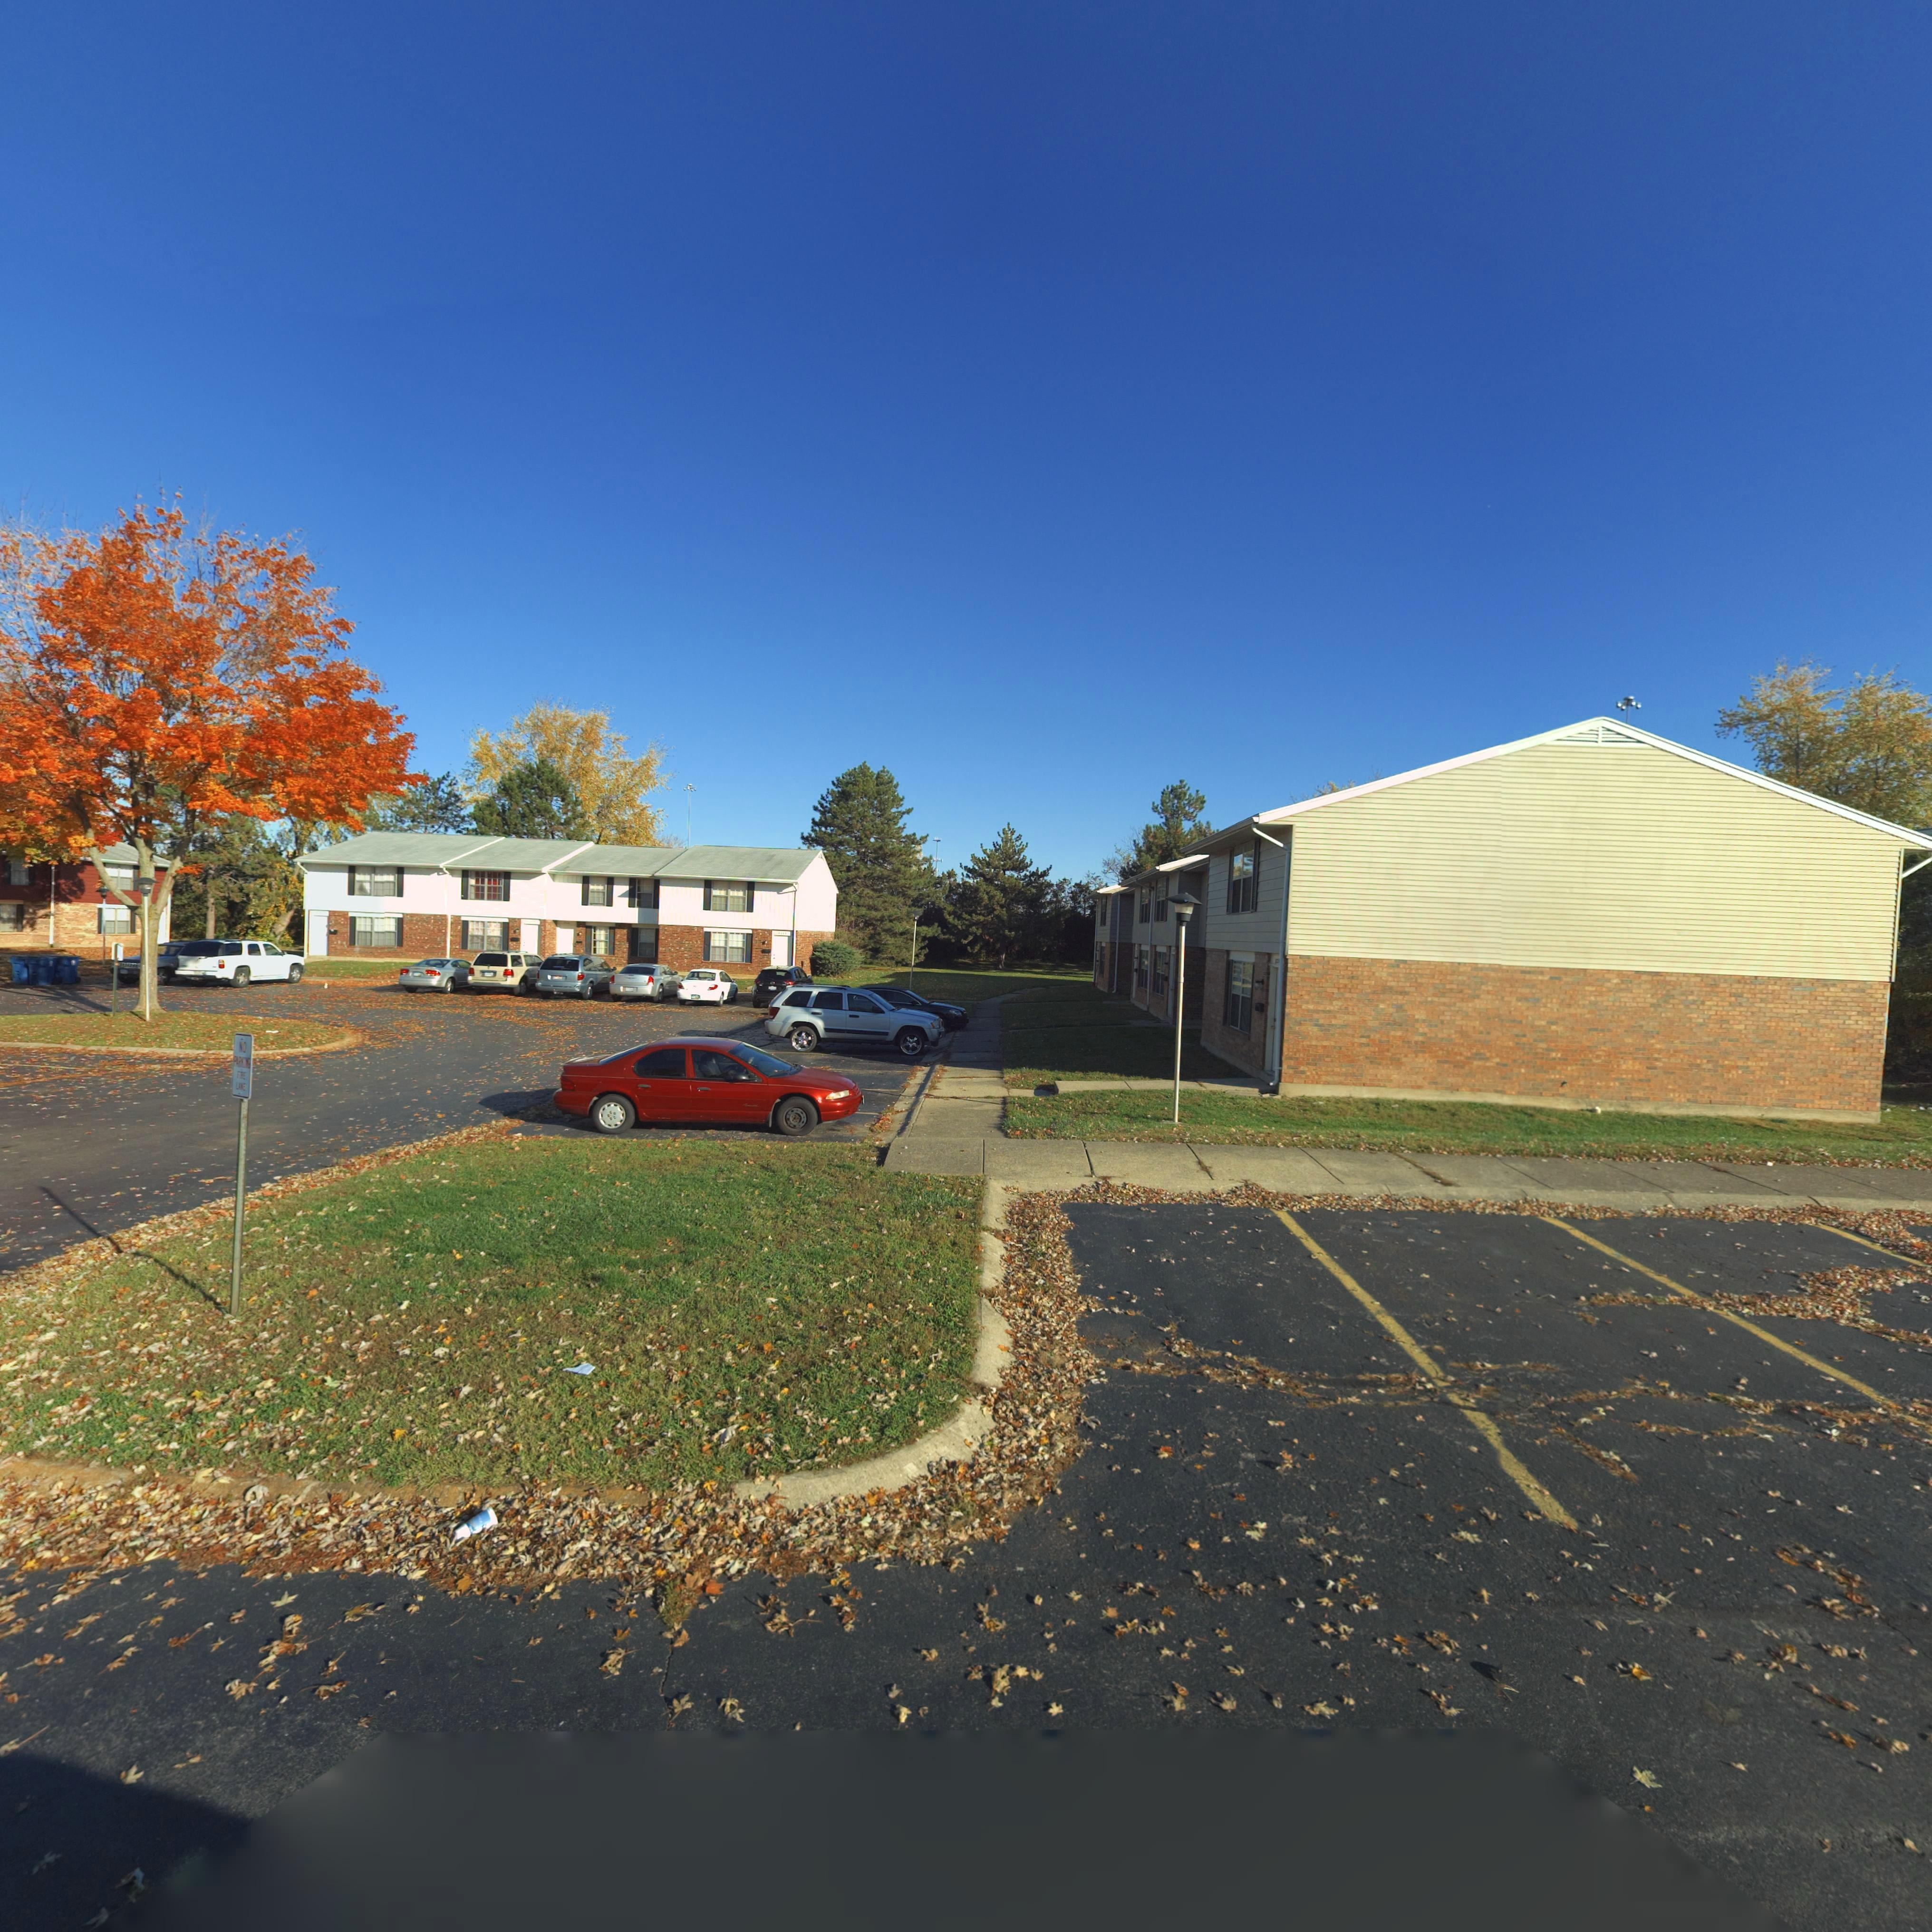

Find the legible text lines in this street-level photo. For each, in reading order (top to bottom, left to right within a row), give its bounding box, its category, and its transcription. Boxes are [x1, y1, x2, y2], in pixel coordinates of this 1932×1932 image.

[1276, 958, 1279, 964] StreetNumber: 2